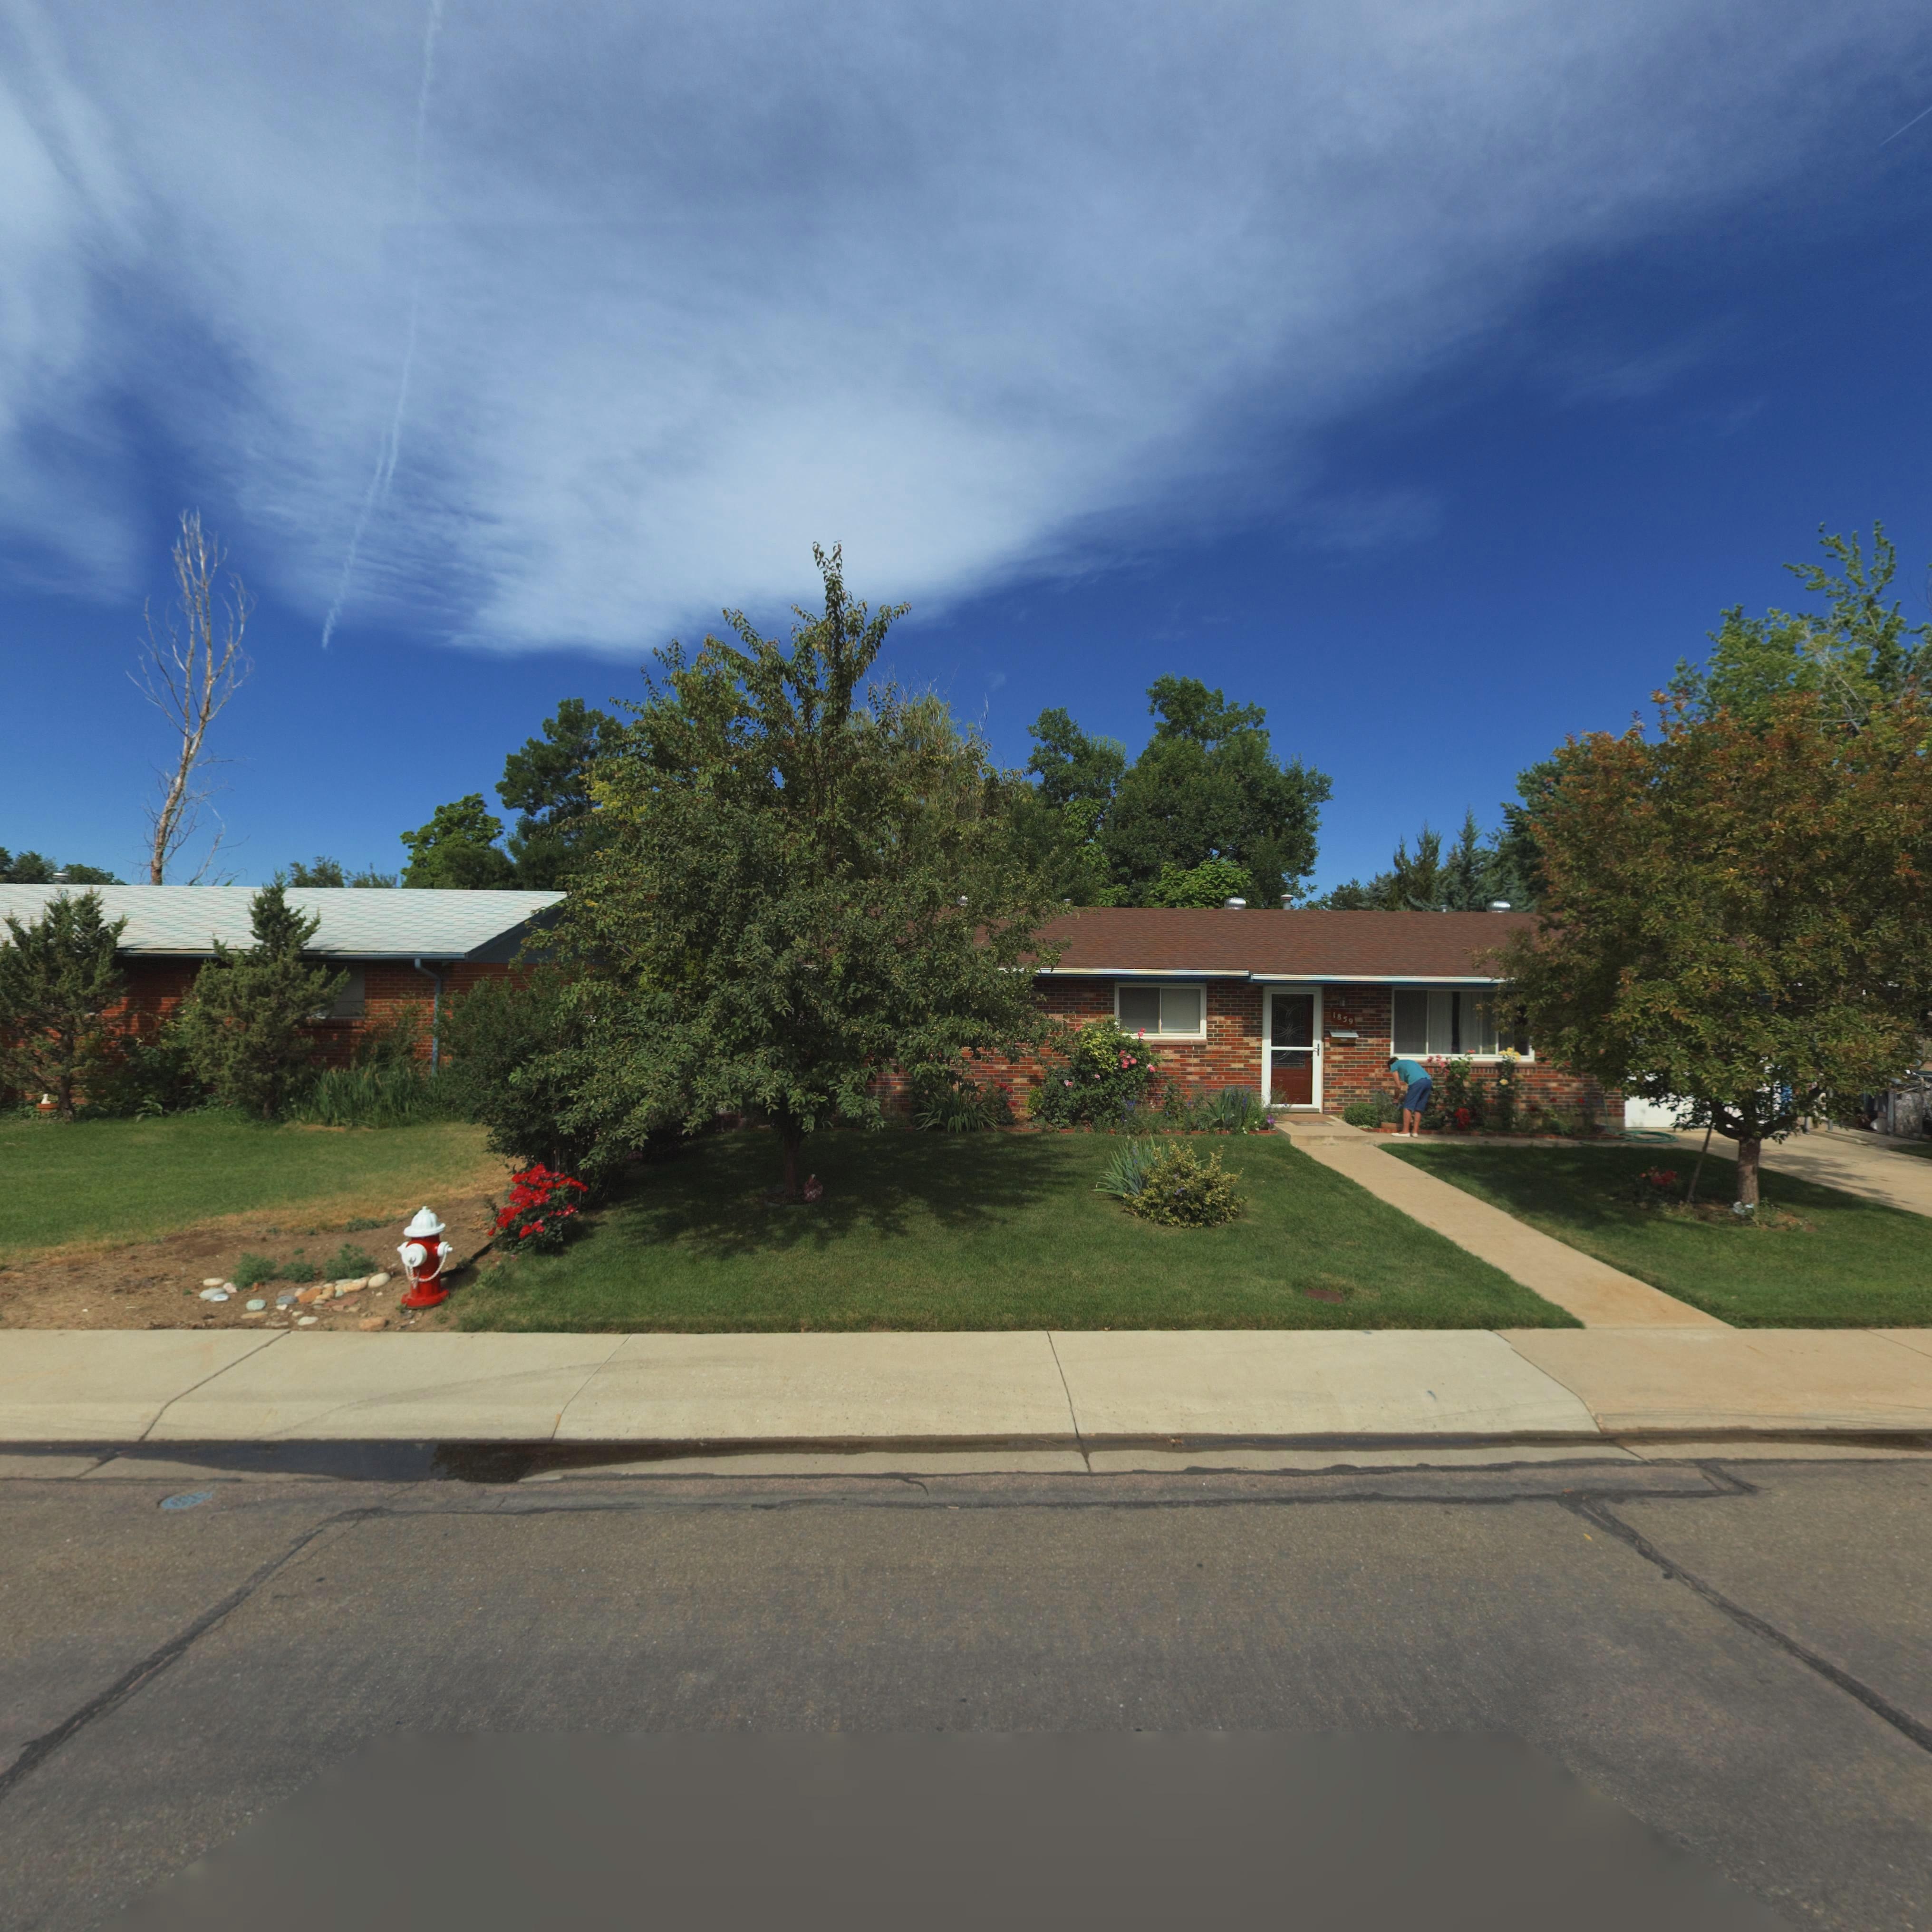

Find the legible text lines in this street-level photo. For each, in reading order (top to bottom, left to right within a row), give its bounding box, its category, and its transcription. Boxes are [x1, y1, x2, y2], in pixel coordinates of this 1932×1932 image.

[1333, 1011, 1353, 1025] StreetNumber: 1859